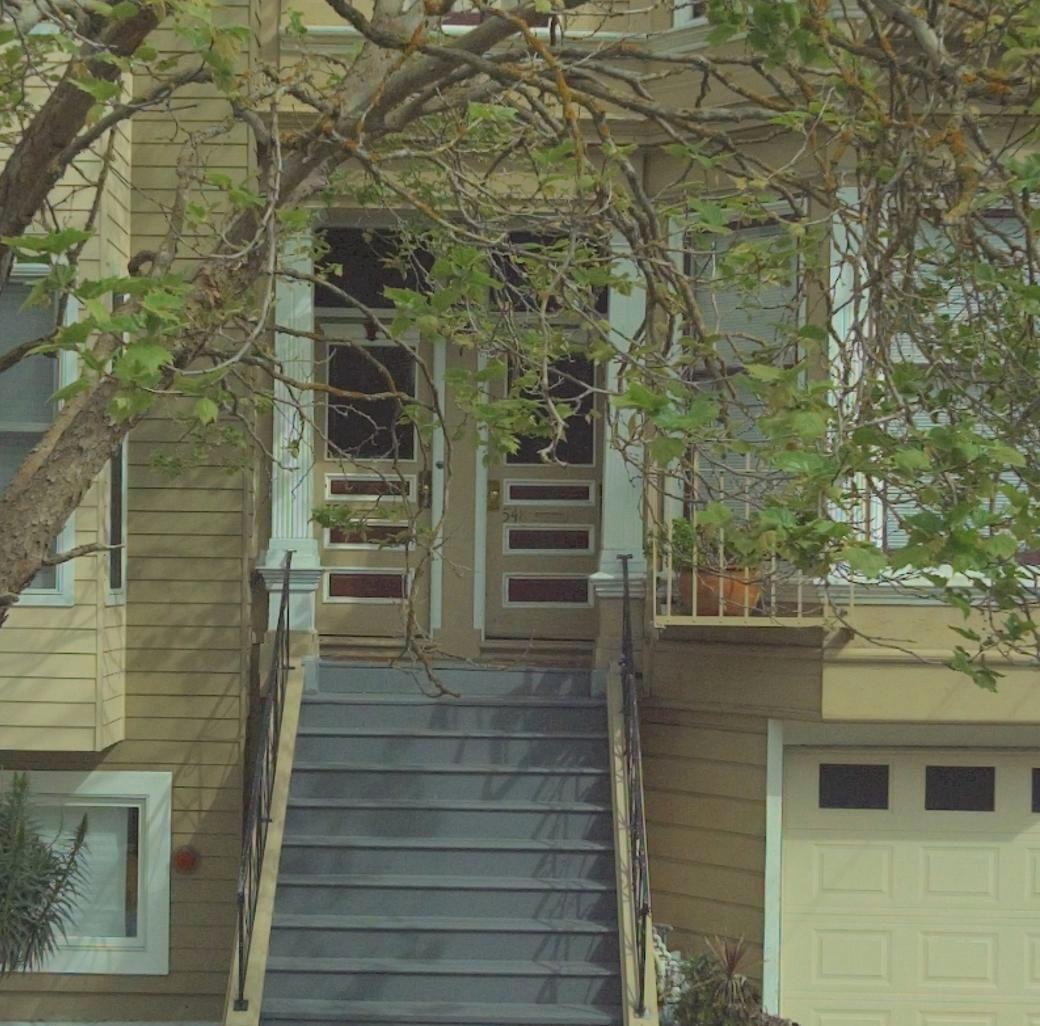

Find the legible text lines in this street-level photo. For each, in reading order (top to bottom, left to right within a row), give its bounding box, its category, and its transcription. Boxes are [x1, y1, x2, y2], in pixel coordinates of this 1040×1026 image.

[501, 504, 529, 524] StreetNumber: 548